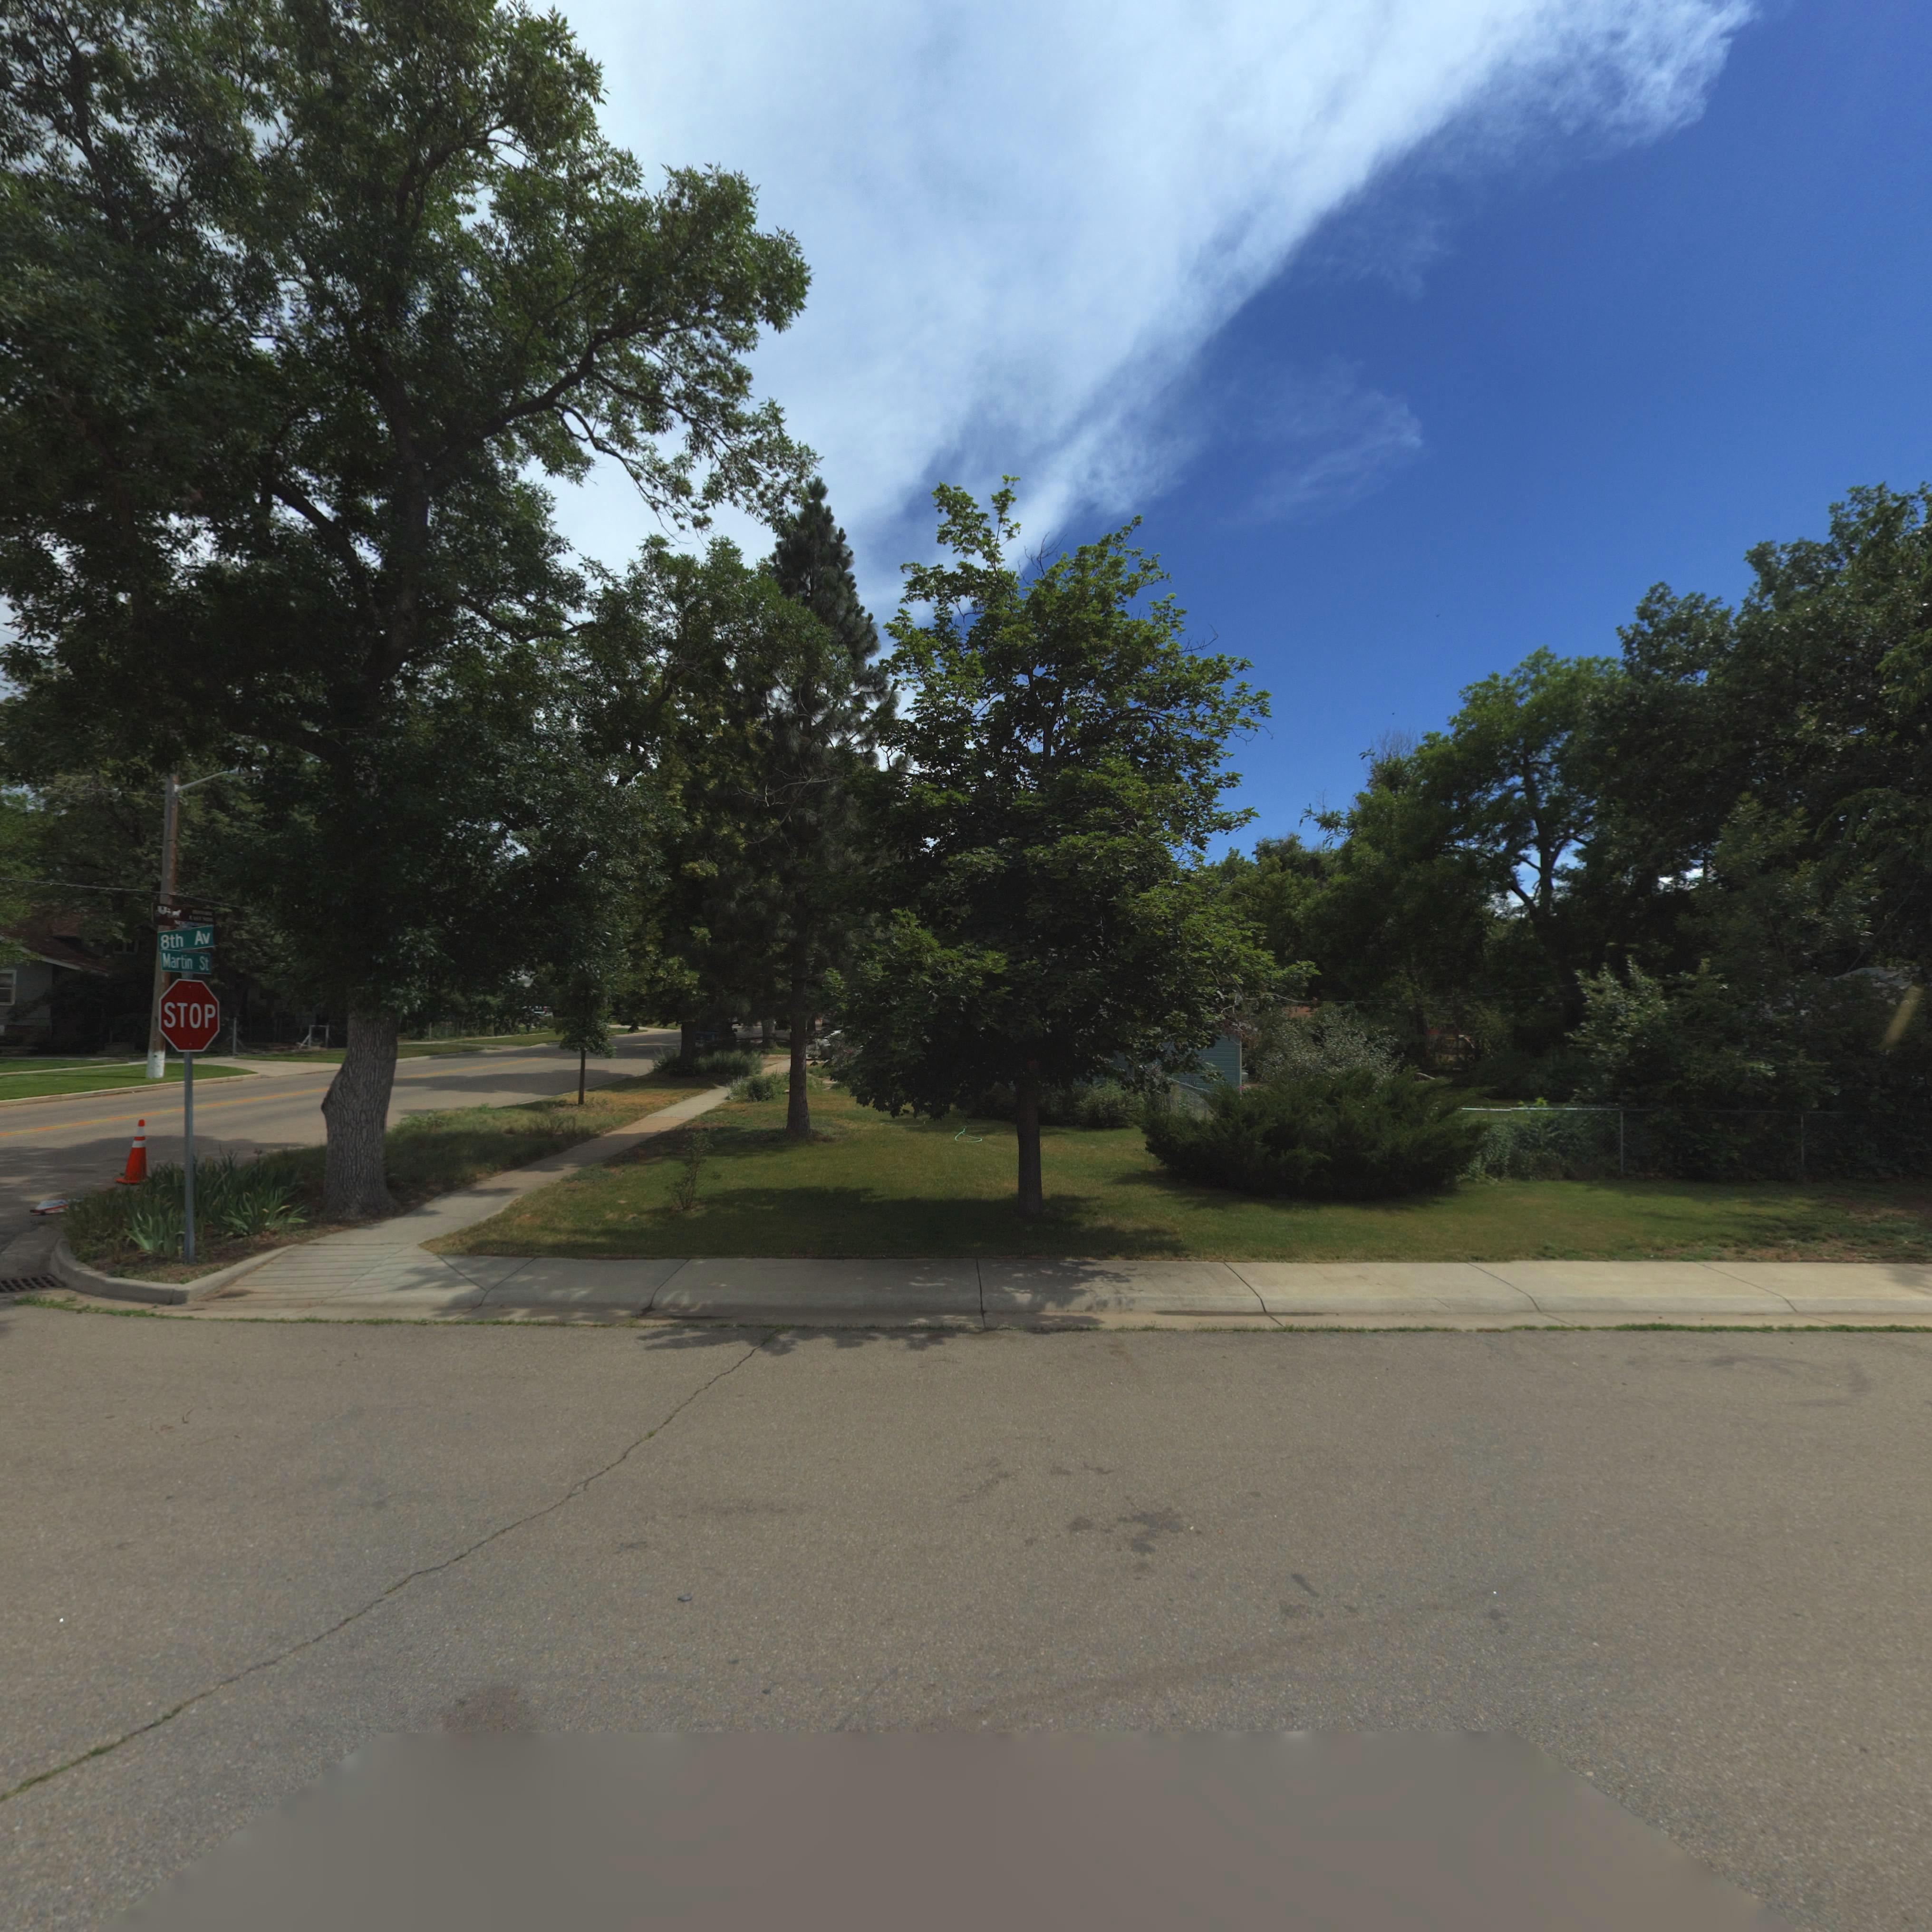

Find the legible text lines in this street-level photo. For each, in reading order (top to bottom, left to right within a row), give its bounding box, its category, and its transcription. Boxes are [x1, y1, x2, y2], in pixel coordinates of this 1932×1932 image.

[159, 929, 212, 950] StreetName: 8th Av
[162, 952, 210, 971] StreetName: Martin St